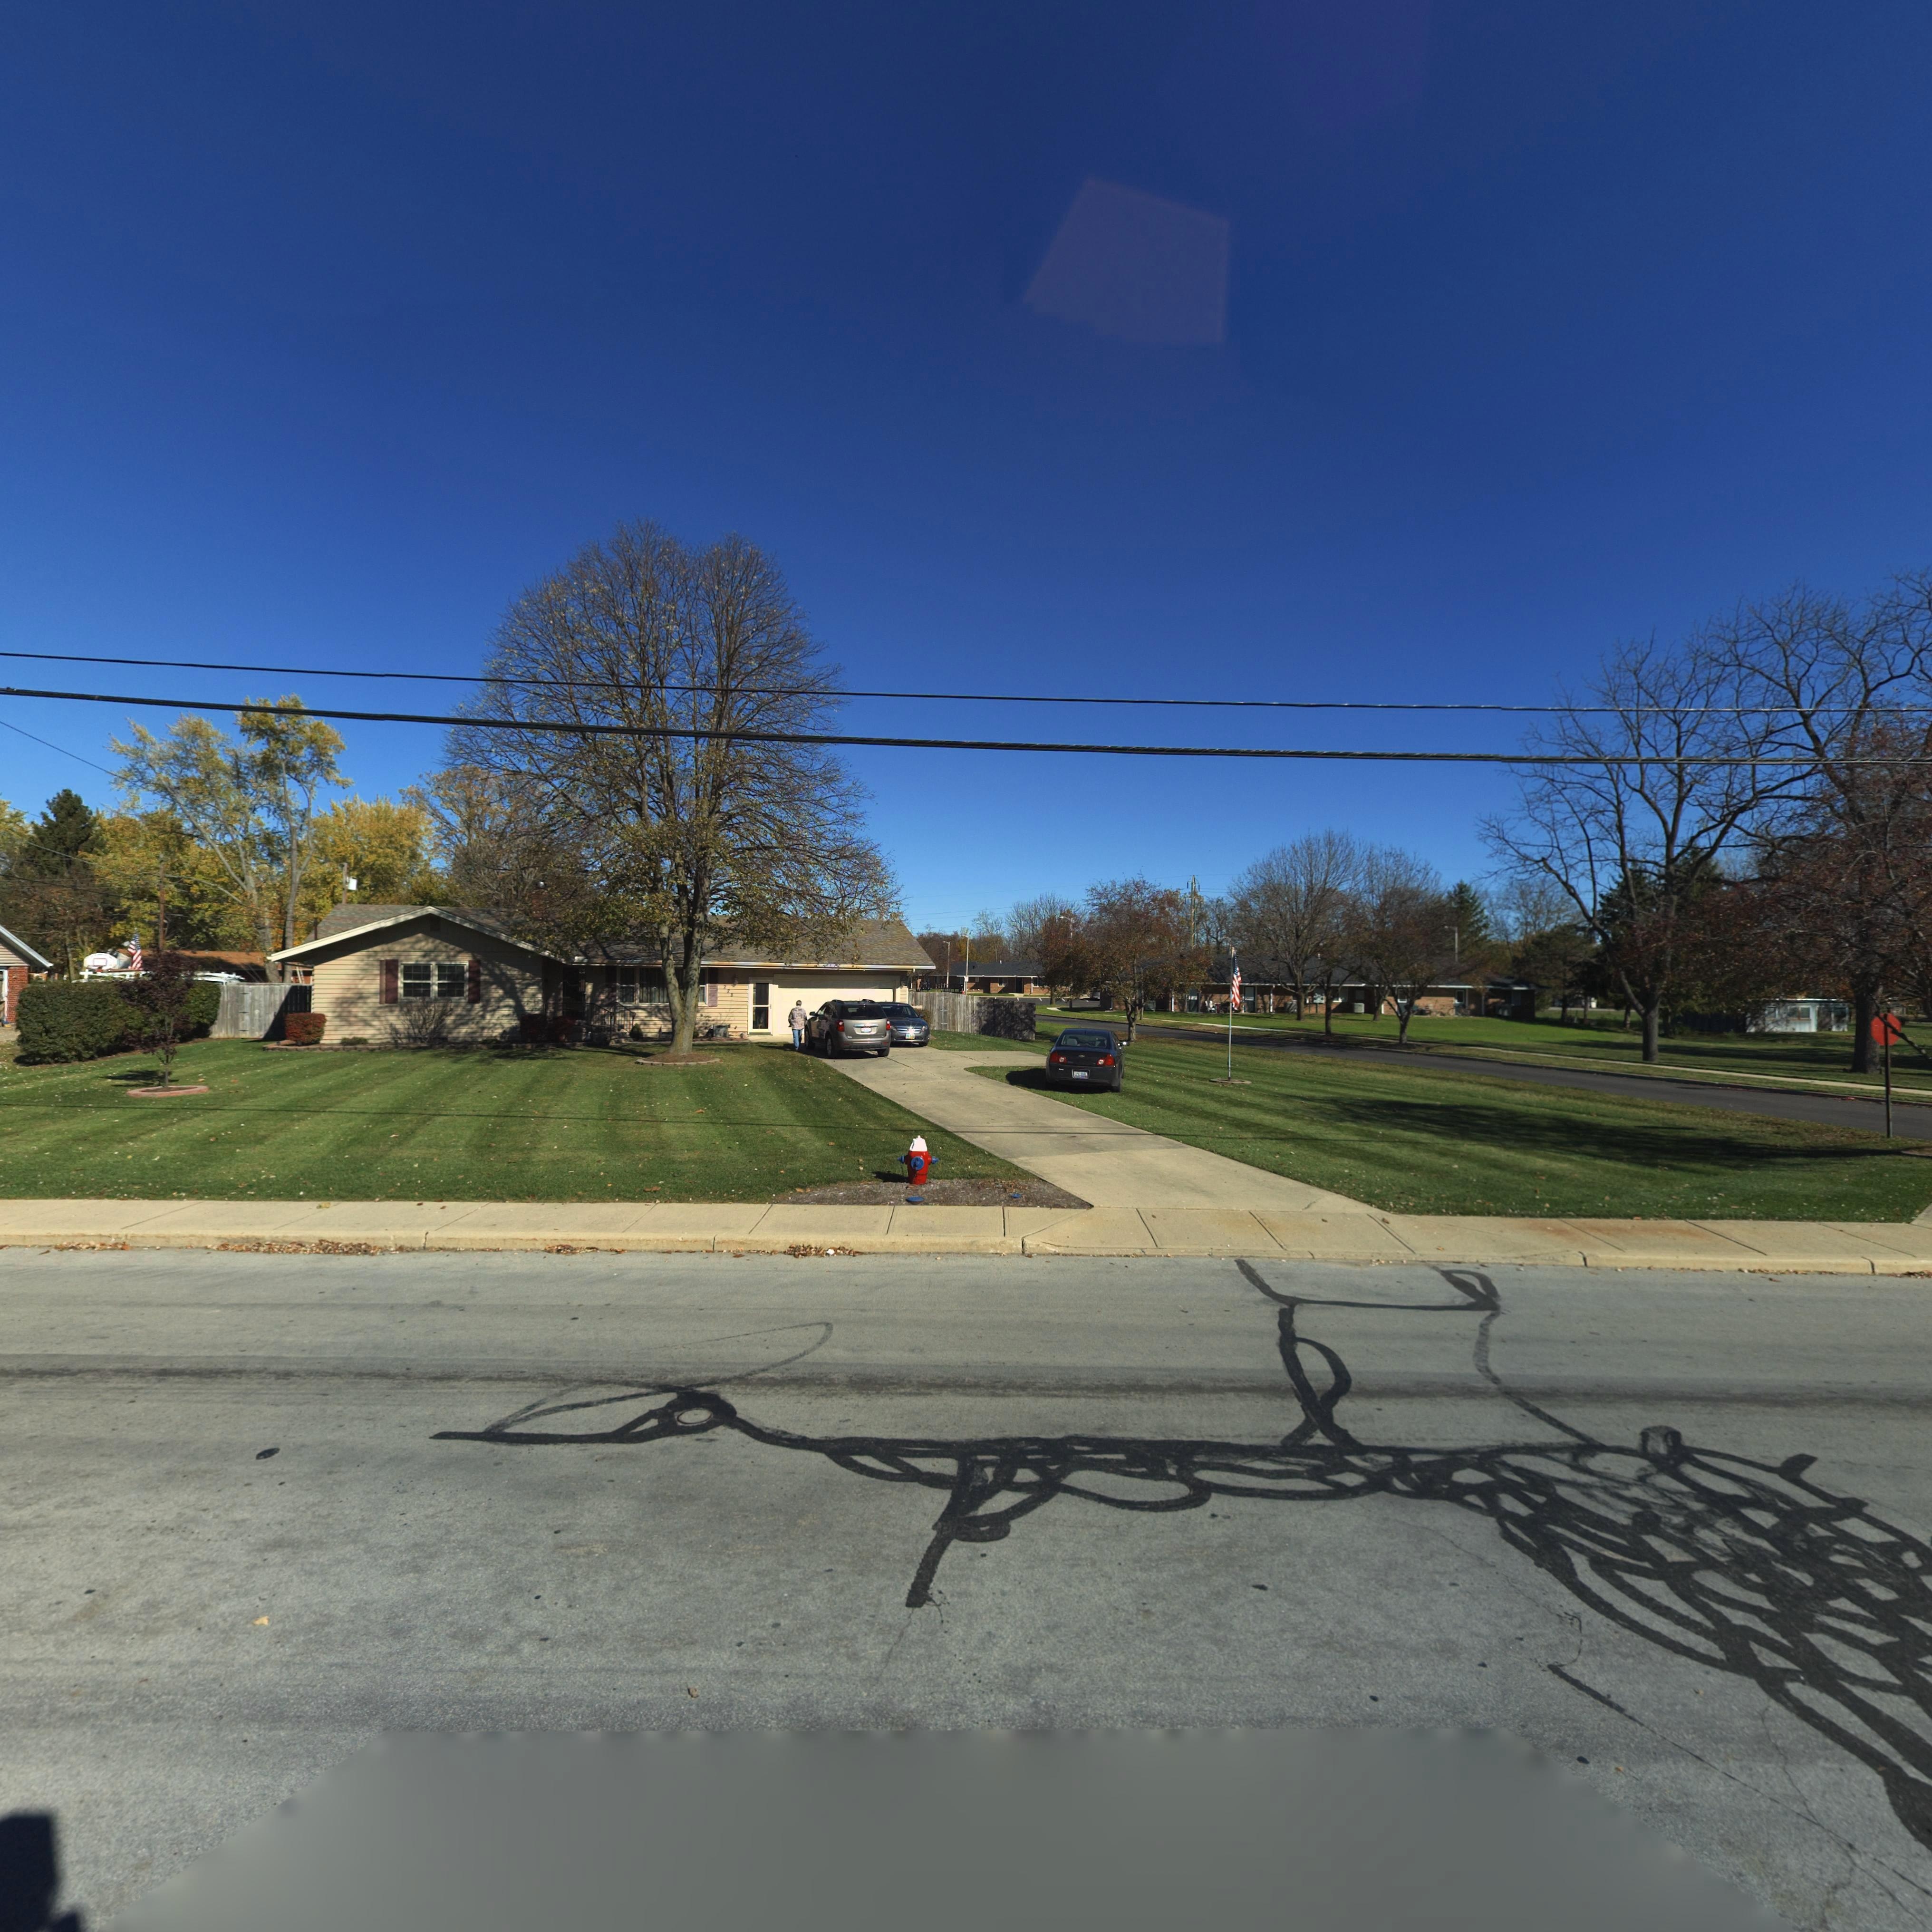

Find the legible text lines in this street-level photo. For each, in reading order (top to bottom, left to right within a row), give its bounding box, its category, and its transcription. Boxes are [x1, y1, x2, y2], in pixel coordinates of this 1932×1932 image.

[723, 985, 734, 997] StreetNumber: 228